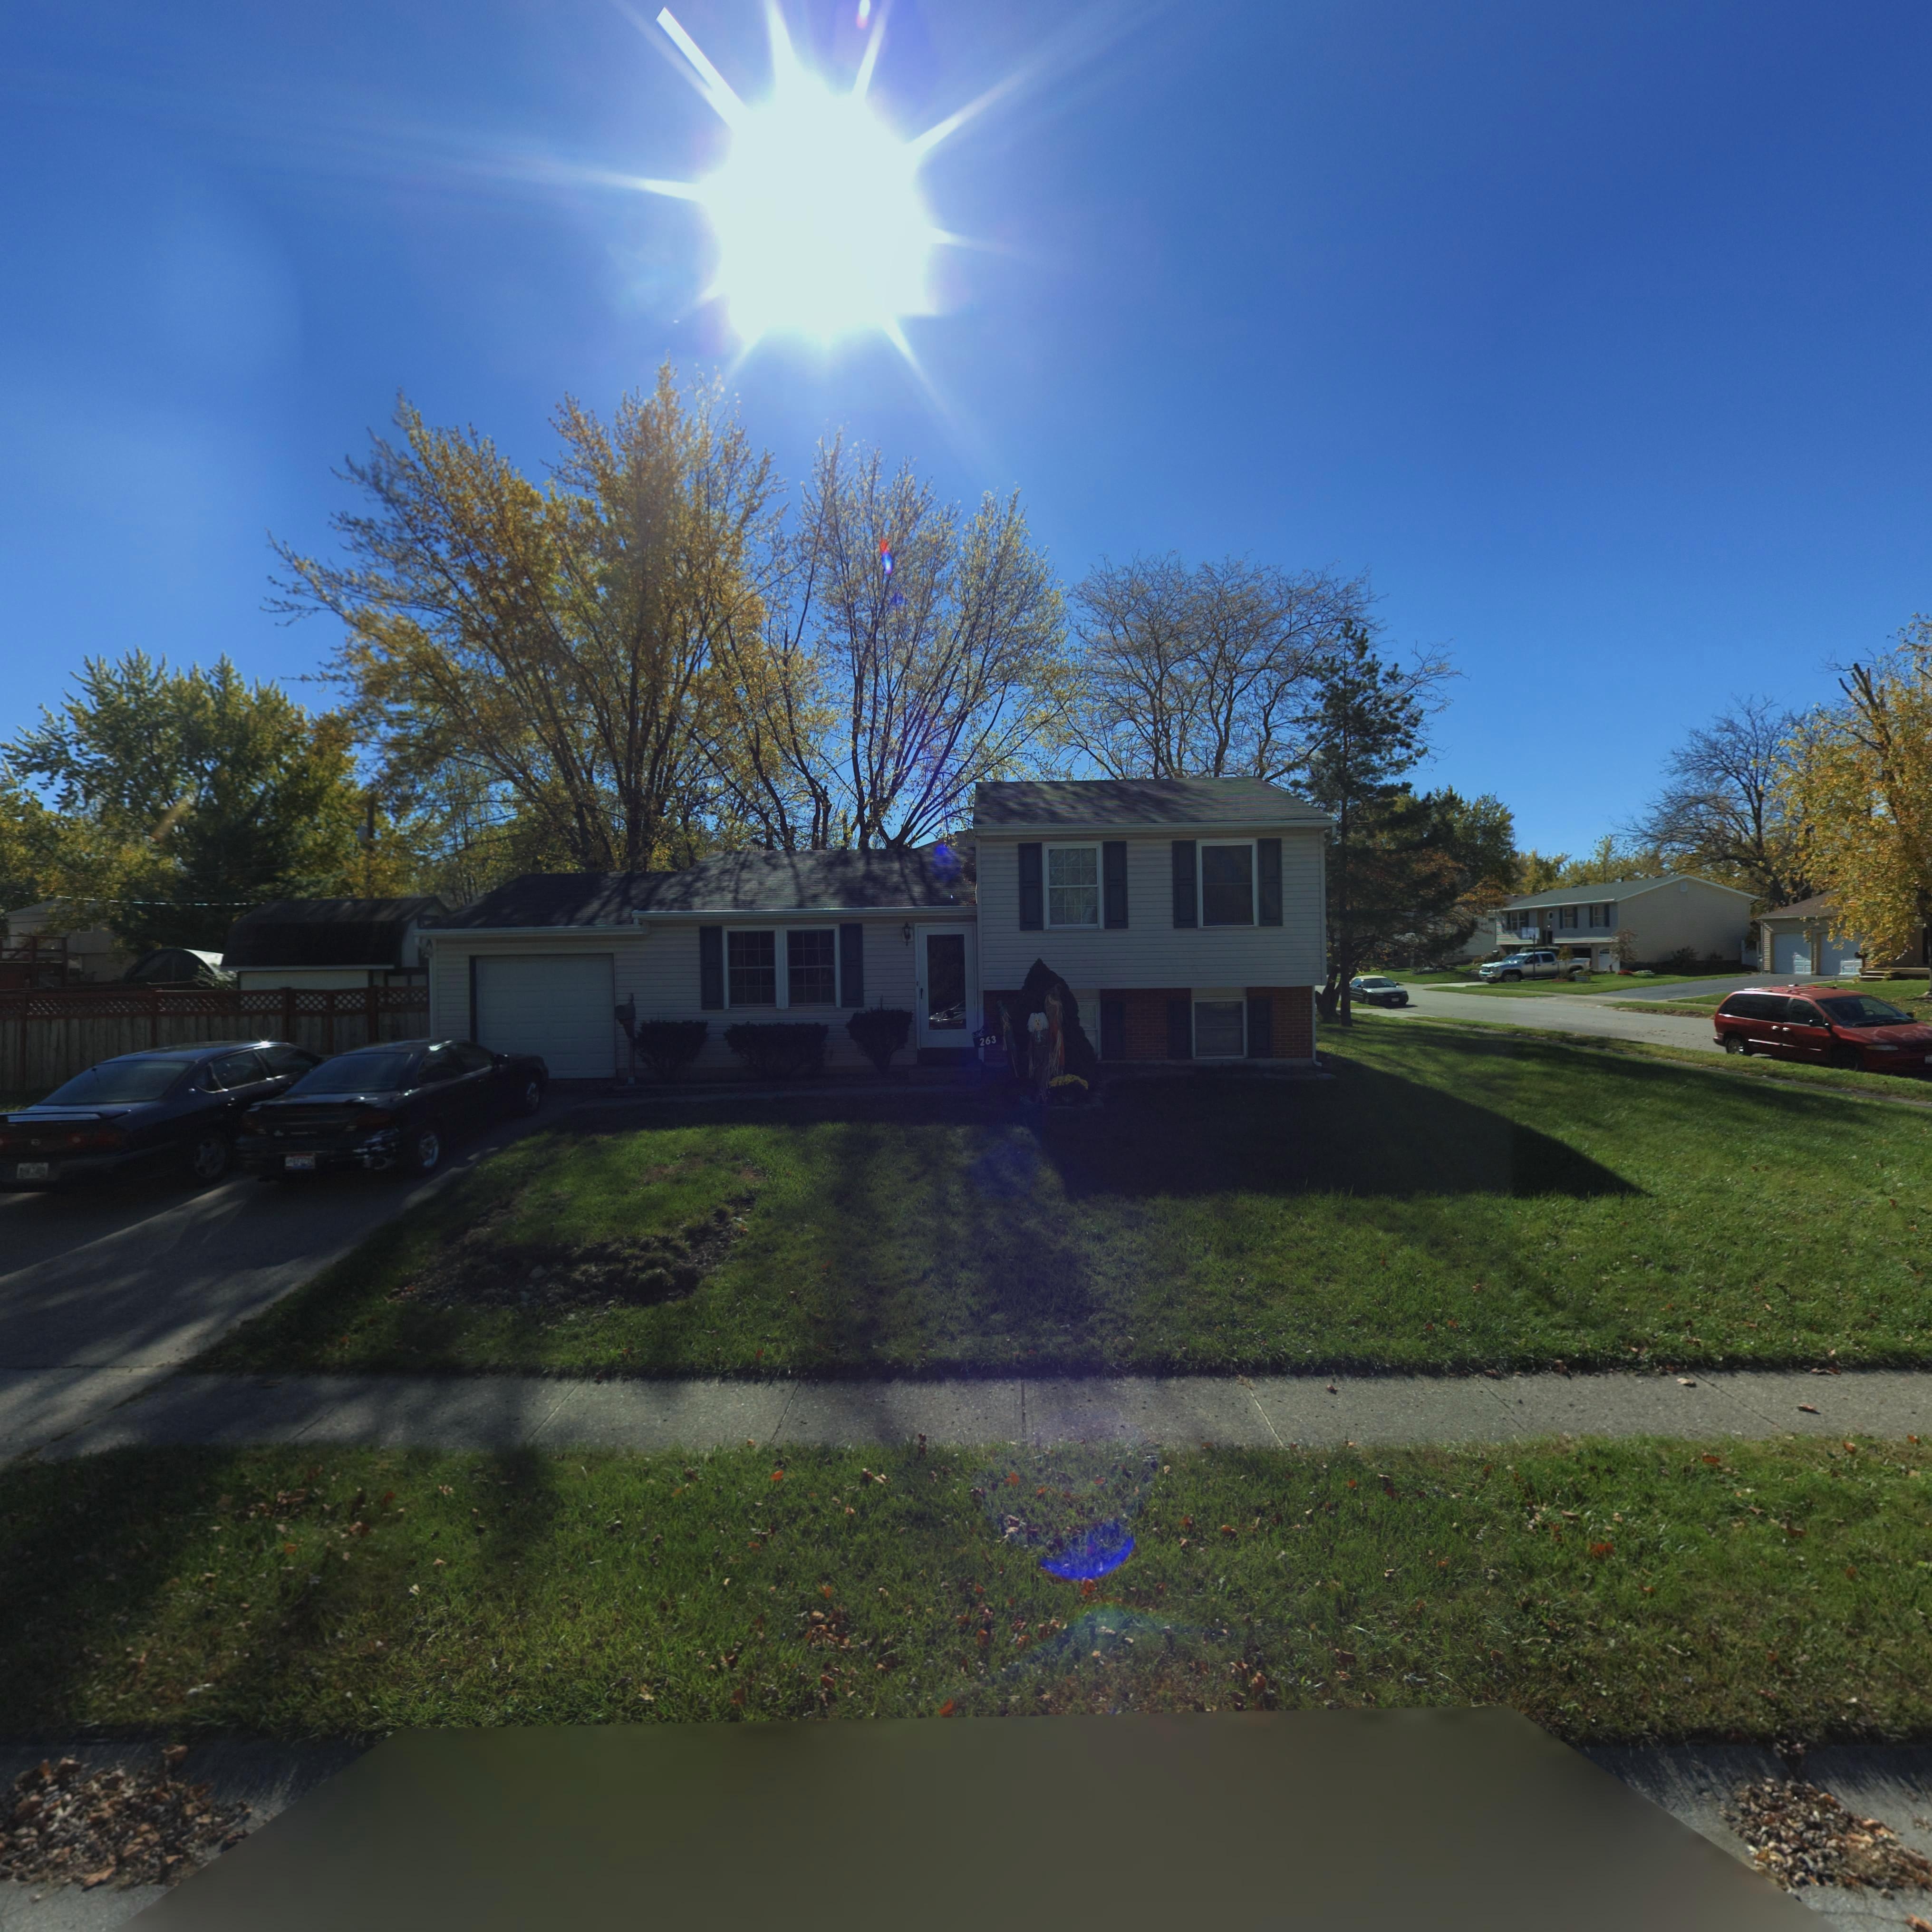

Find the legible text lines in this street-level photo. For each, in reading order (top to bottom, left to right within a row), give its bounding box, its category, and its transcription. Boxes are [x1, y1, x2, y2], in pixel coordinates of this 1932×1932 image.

[978, 1034, 997, 1048] StreetNumber: 263